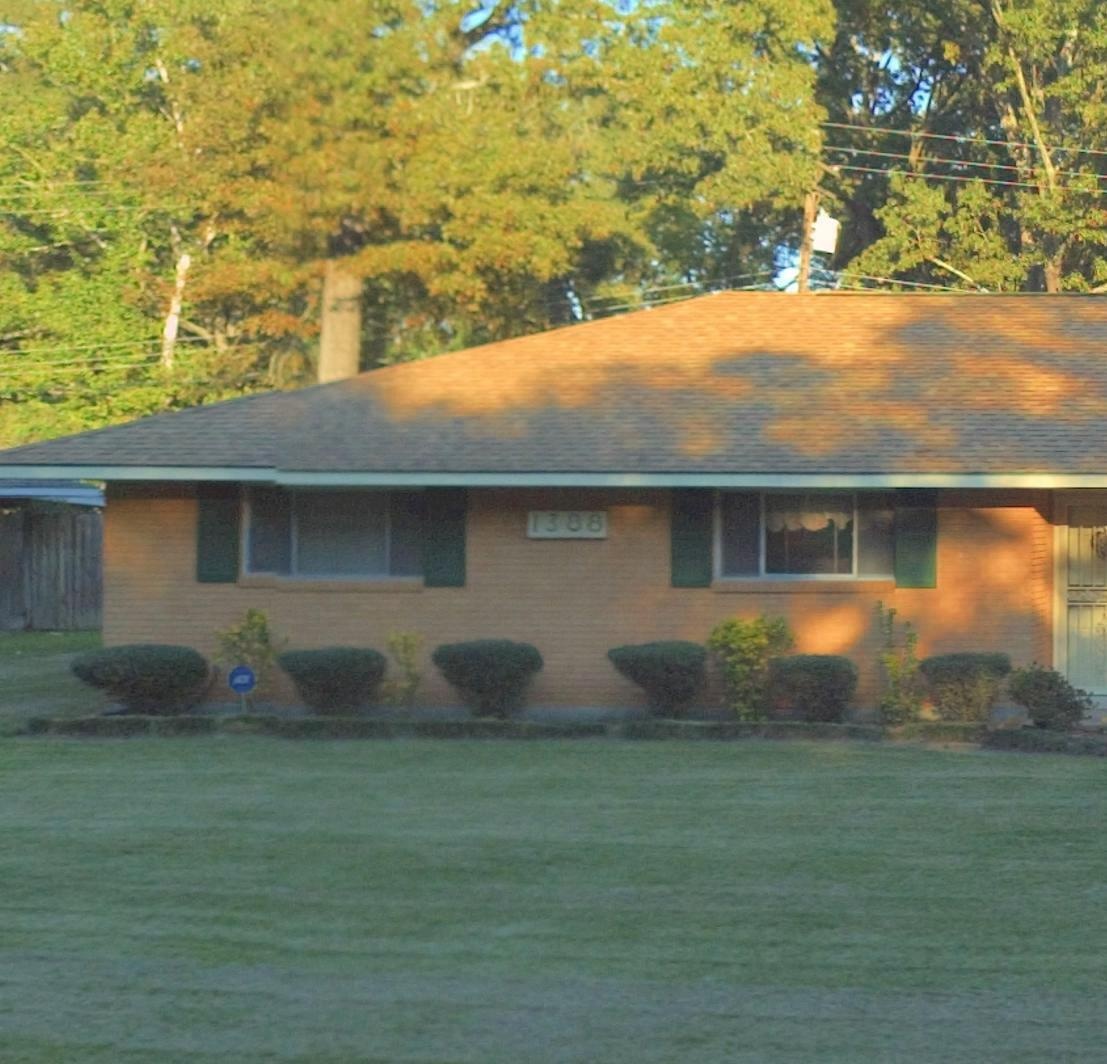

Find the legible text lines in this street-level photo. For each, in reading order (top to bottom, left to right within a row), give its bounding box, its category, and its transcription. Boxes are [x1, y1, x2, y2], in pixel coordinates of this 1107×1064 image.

[530, 511, 605, 534] StreetNumber: 1388